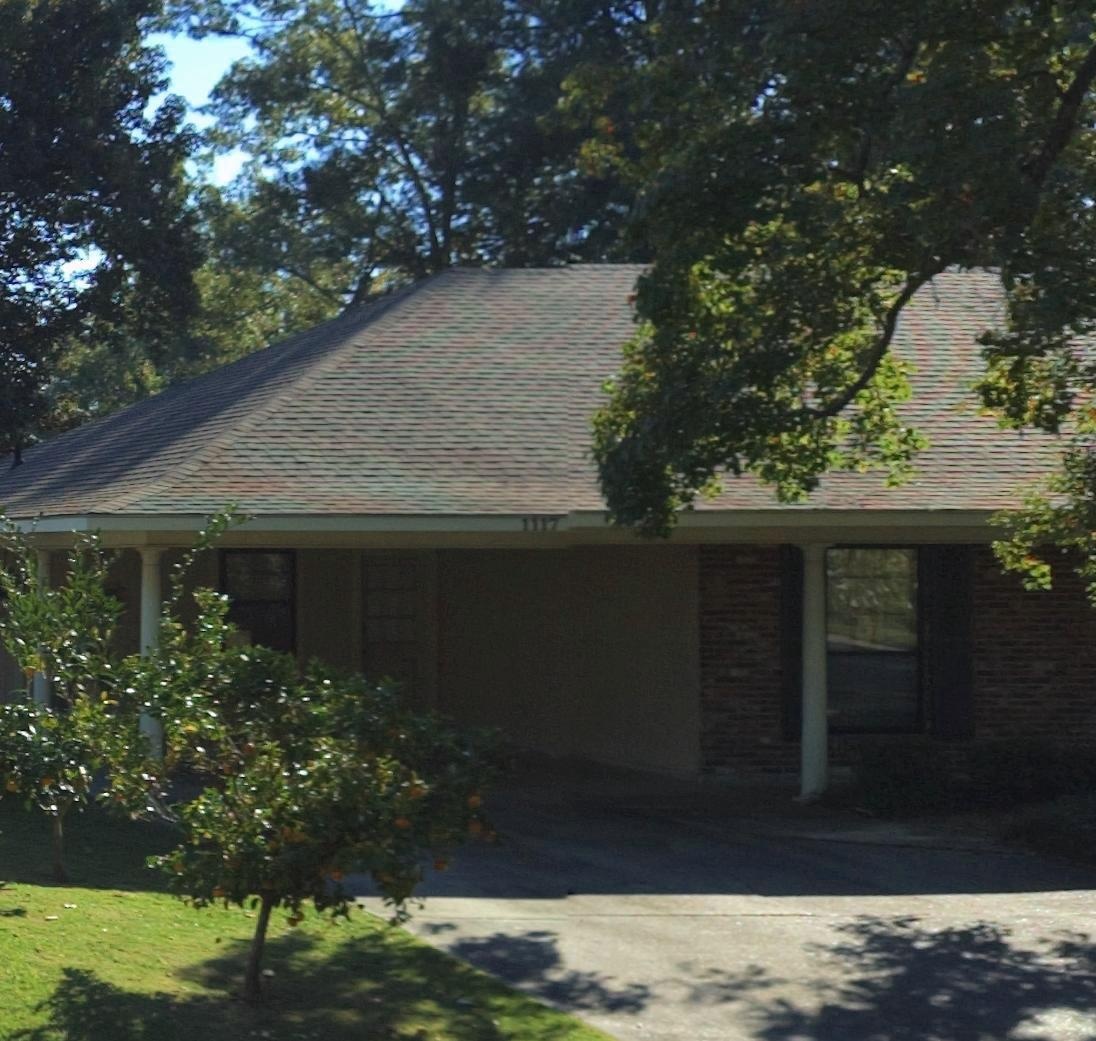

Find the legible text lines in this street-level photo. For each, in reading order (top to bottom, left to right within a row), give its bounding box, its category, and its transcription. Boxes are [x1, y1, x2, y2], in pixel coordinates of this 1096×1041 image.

[519, 514, 561, 533] StreetNumber: 1117